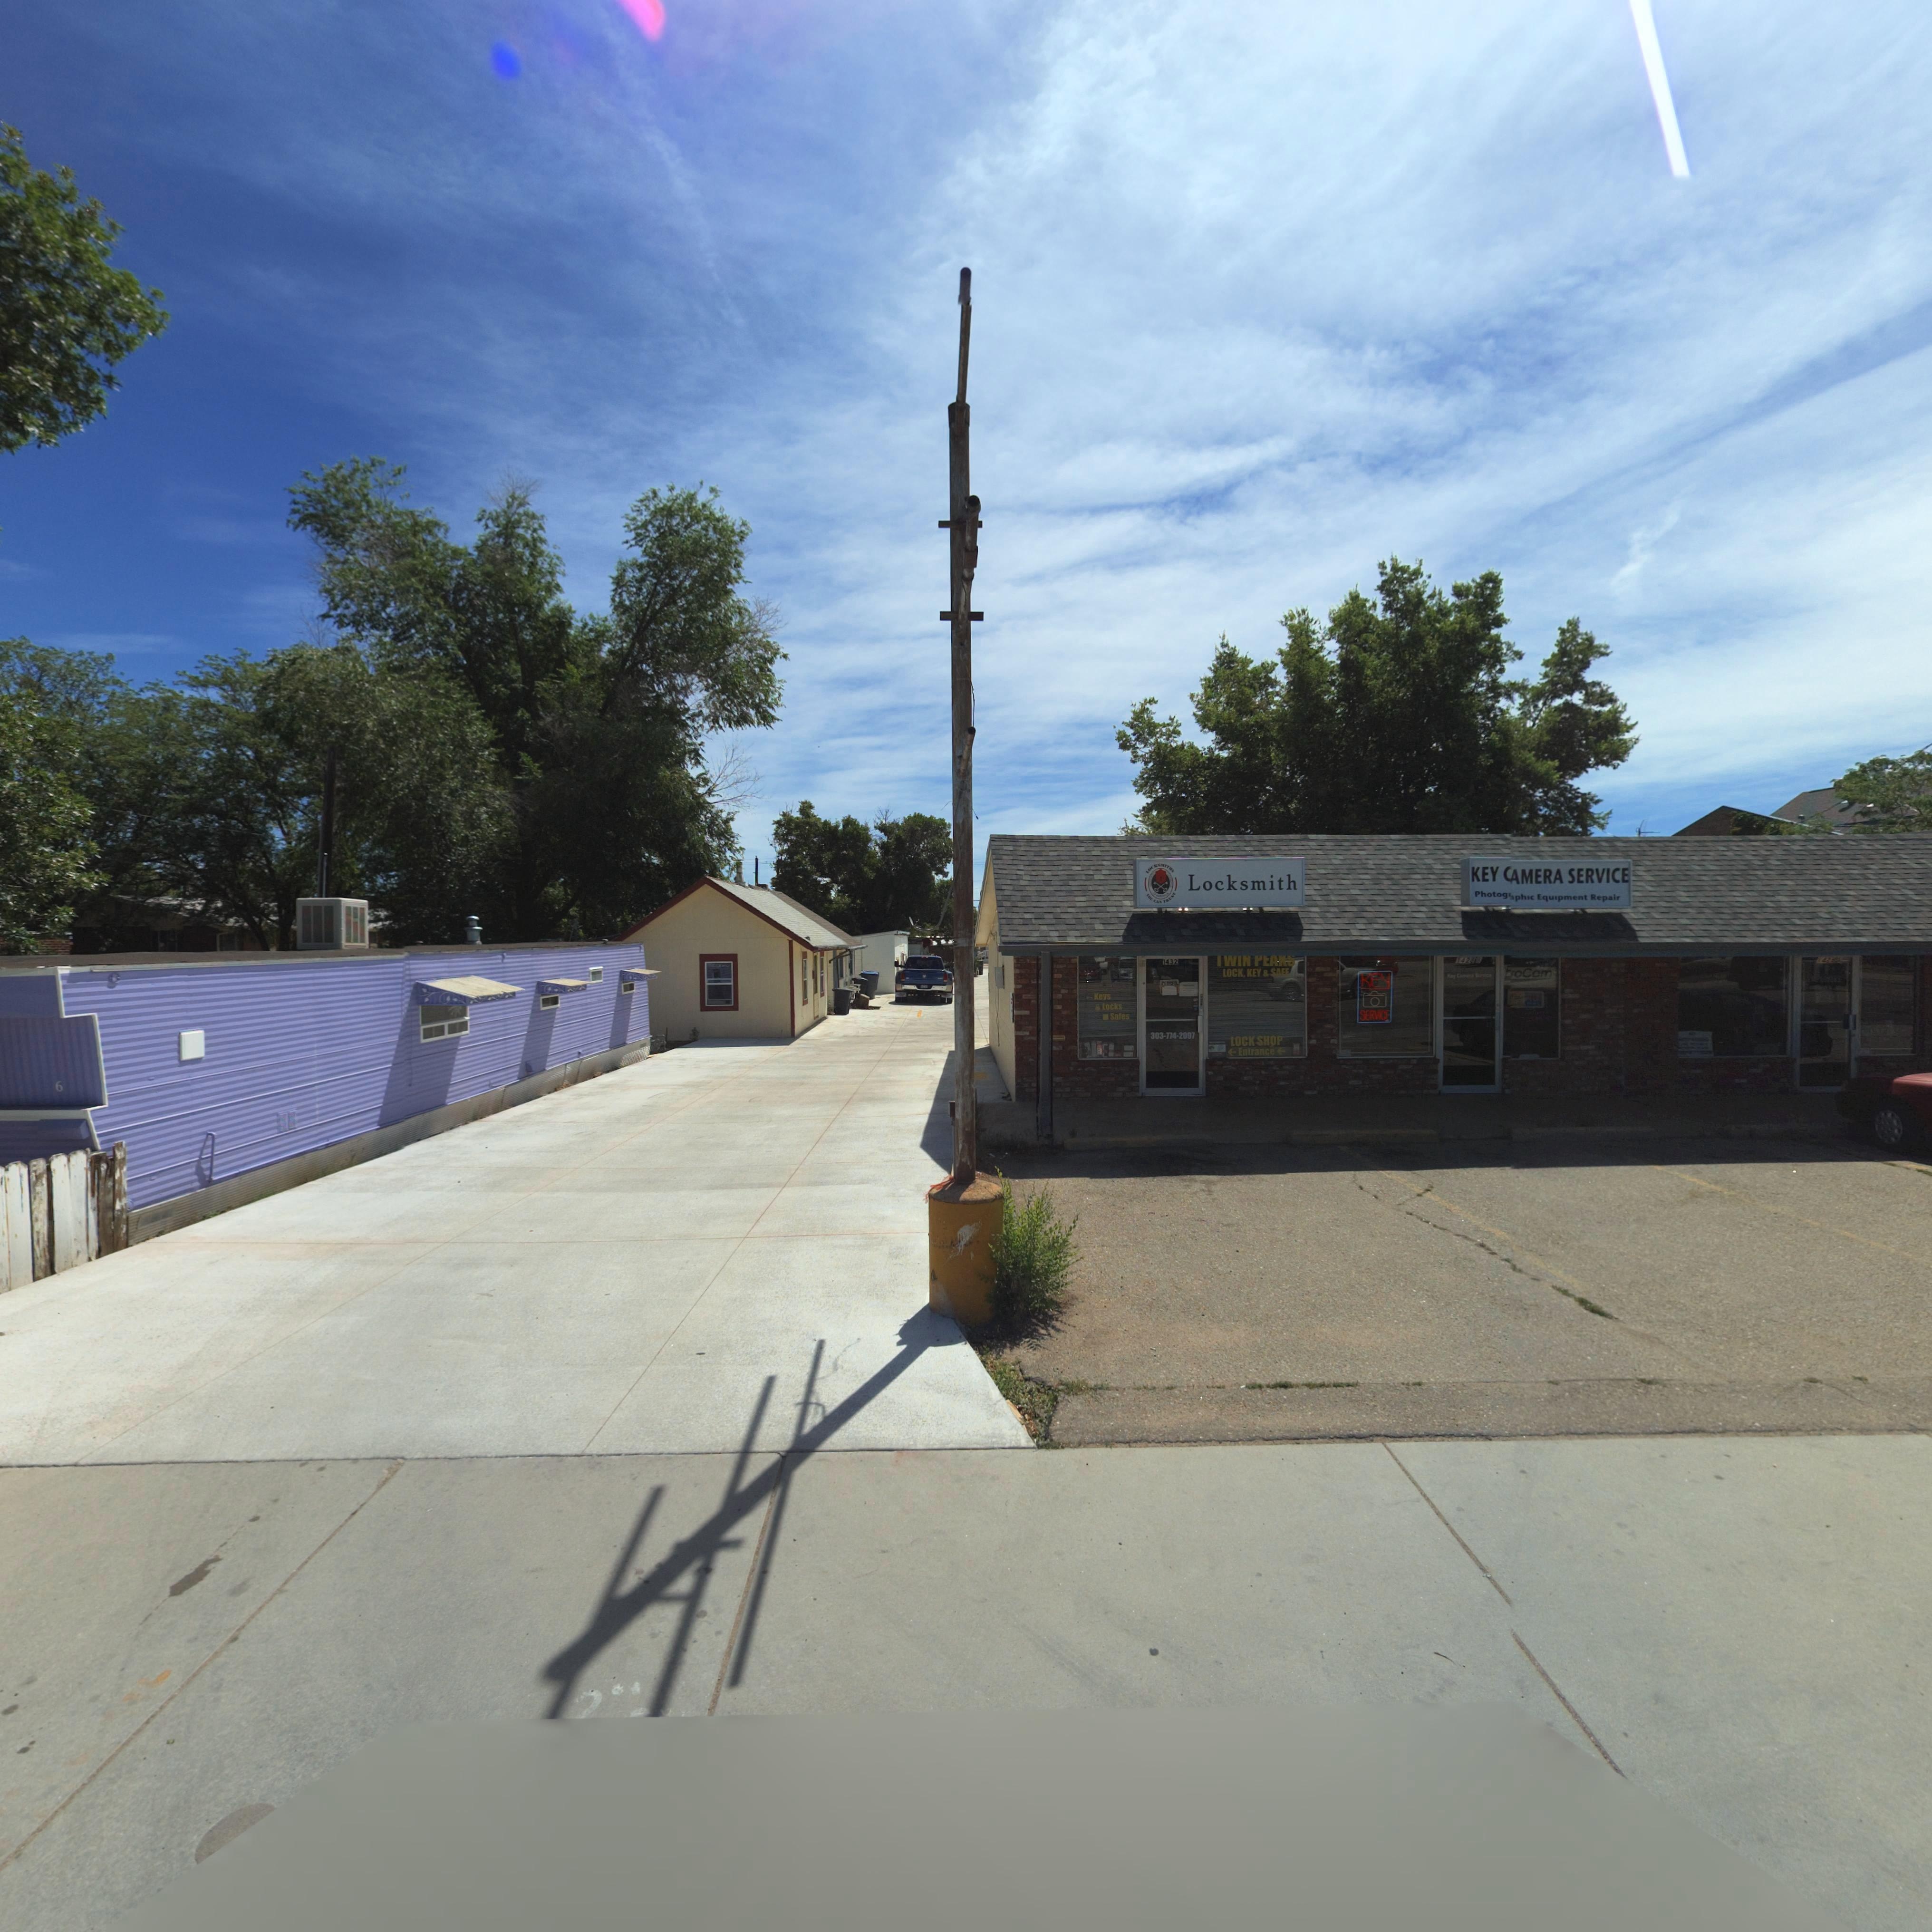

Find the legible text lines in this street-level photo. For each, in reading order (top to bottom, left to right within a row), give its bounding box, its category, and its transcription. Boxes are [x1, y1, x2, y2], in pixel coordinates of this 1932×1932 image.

[1470, 864, 1630, 885] BusinessName: KEY *AMERA SERVICE
[1474, 890, 1621, 903] BusinessName: Photog**phic Equipment Repair
[1163, 958, 1178, 965] StreetNumber: 1432
[1456, 956, 1482, 964] StreetNumber: 1428 B
[1817, 956, 1842, 963] StreetNumber: 142**
[54, 1079, 64, 1093] StreetNumber: 6